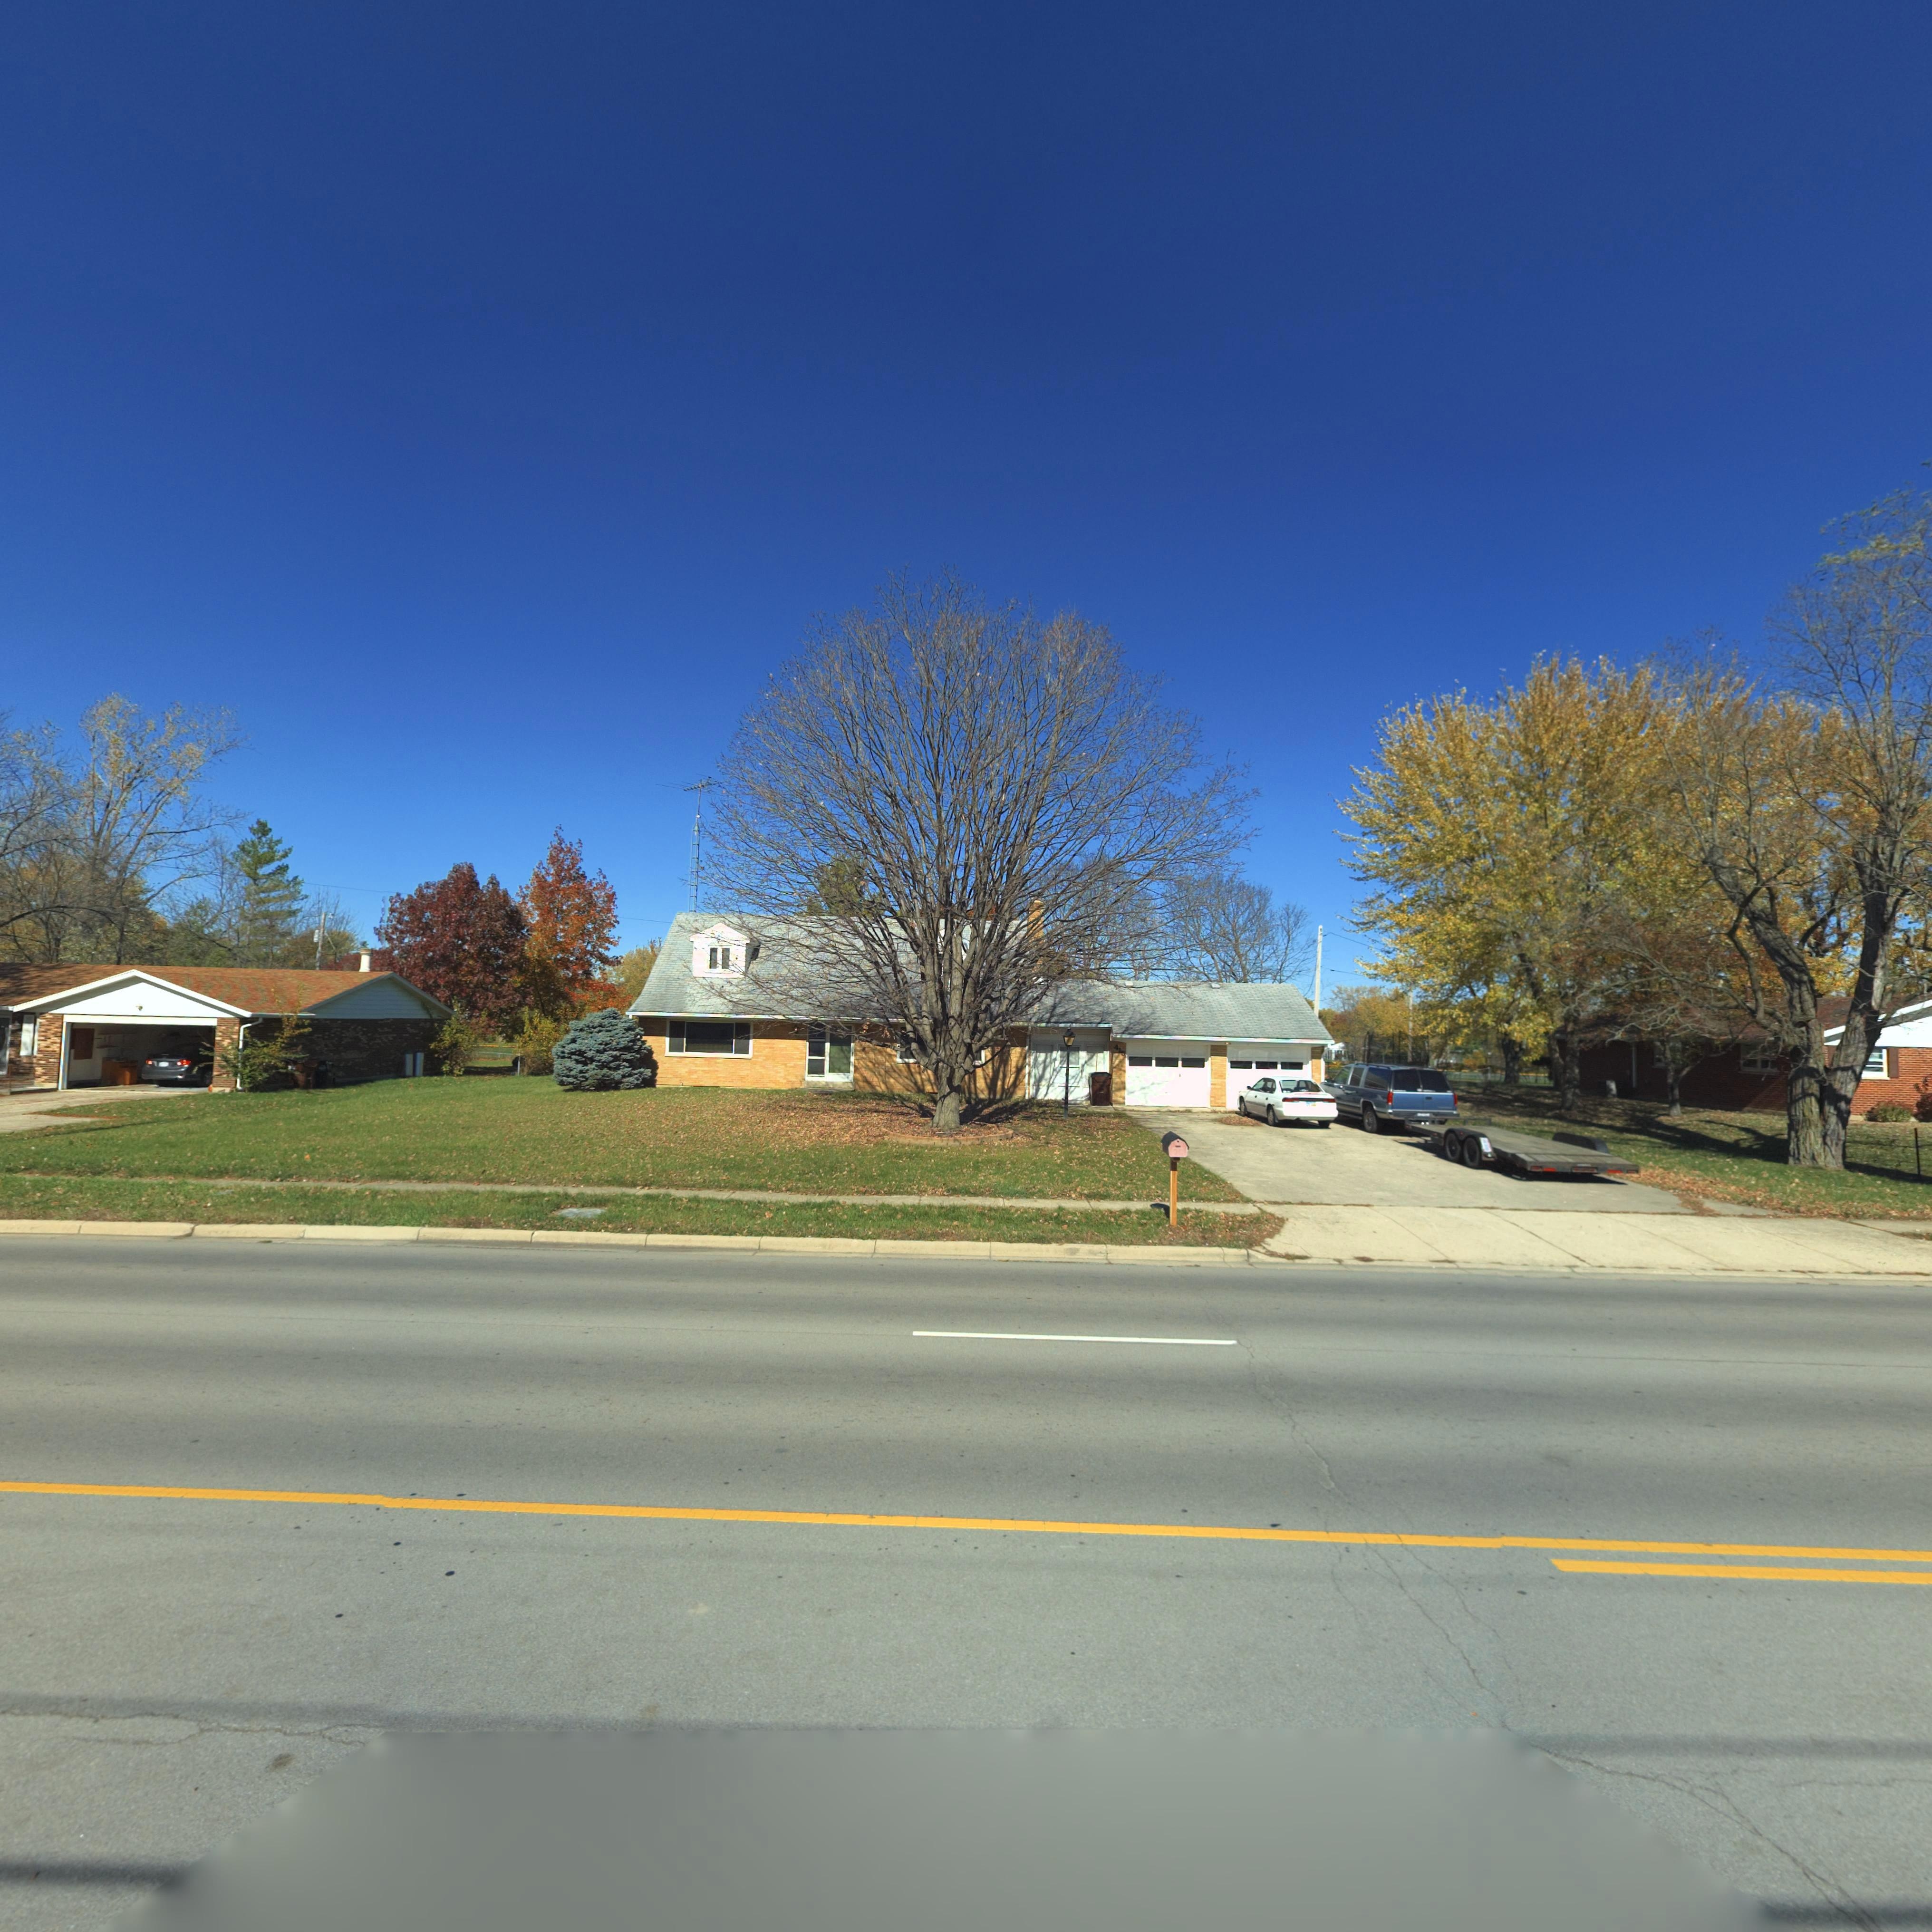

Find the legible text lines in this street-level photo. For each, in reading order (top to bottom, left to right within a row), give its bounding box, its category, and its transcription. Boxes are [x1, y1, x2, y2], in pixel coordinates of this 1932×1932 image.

[1113, 1043, 1126, 1057] StreetNumber: 415